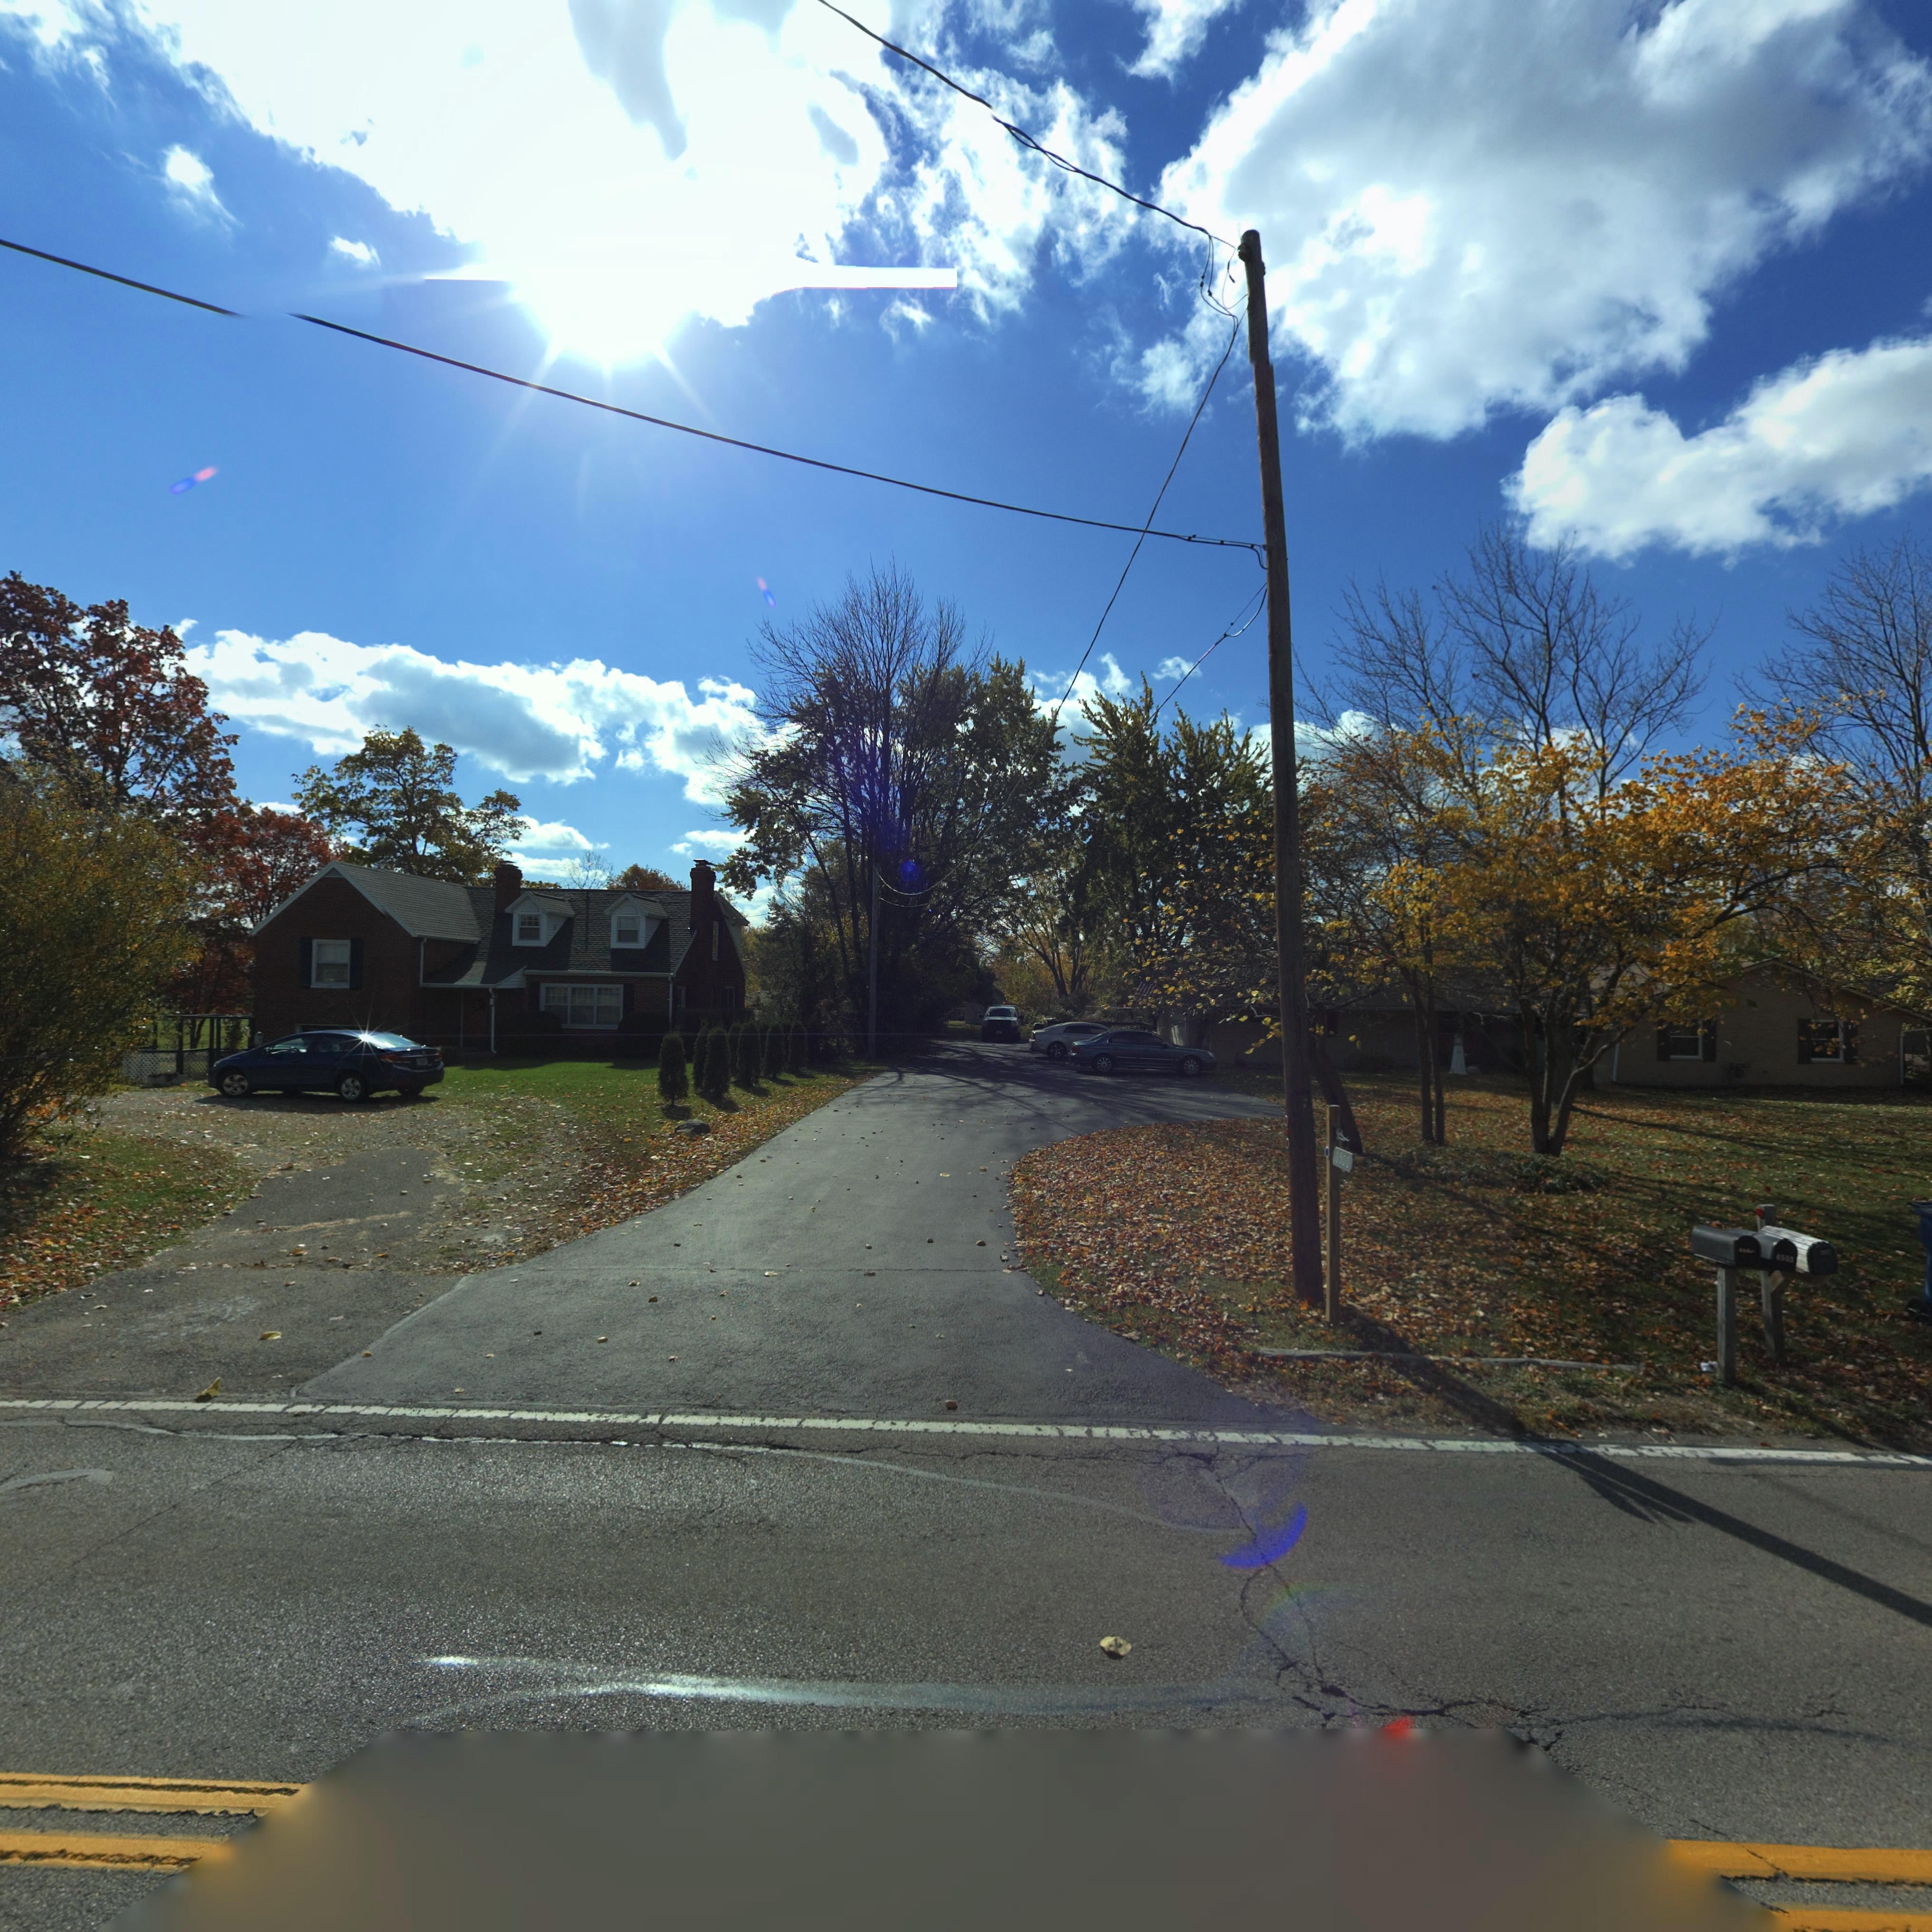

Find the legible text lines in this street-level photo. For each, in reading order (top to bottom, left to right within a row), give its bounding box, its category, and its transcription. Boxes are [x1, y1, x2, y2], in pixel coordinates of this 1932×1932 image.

[1333, 1150, 1351, 1169] StreetNumber: 6500
[1775, 1253, 1794, 1264] StreetNumber: 65*3